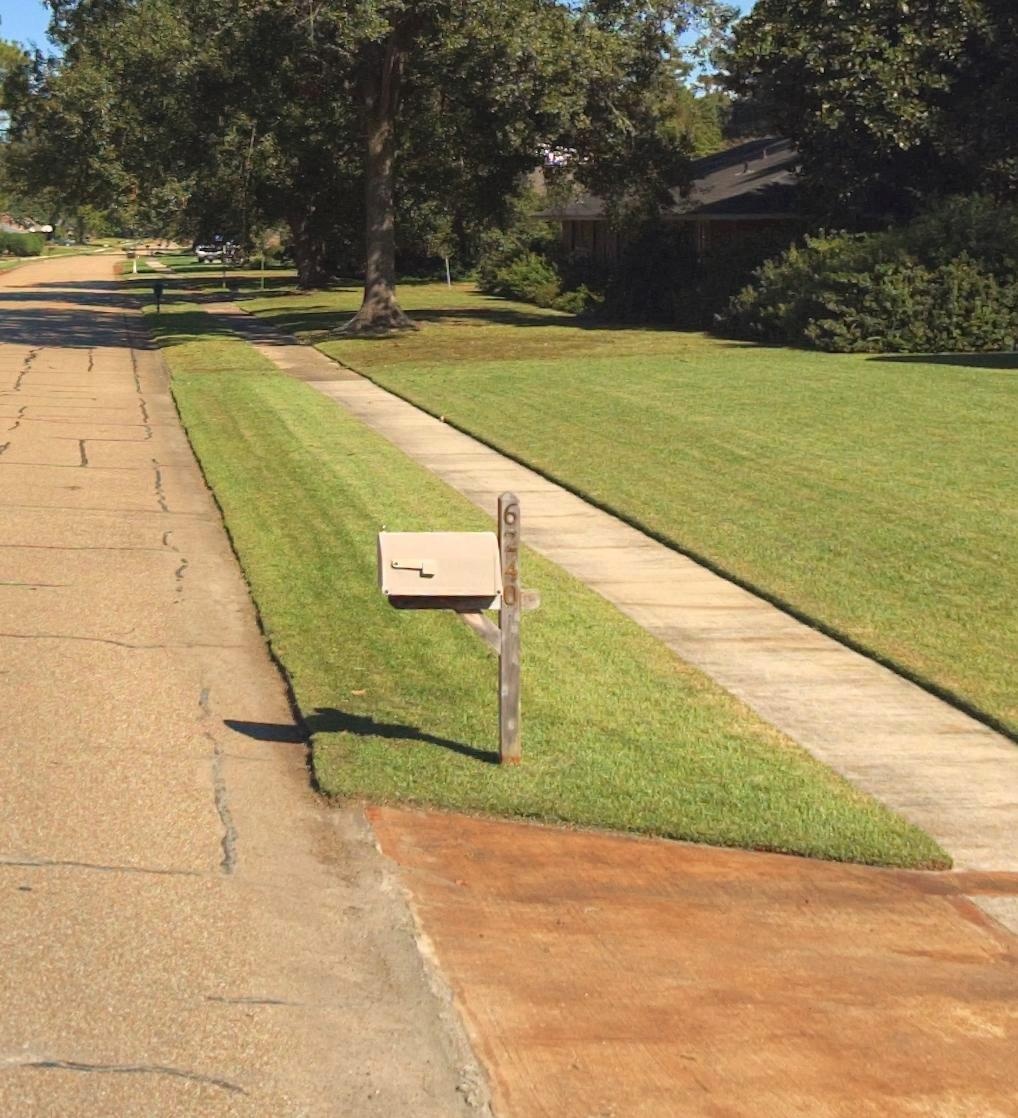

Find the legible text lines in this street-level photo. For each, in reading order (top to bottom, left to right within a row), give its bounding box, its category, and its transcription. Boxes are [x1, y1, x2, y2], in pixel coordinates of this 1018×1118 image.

[501, 501, 519, 608] StreetNumber: 6240